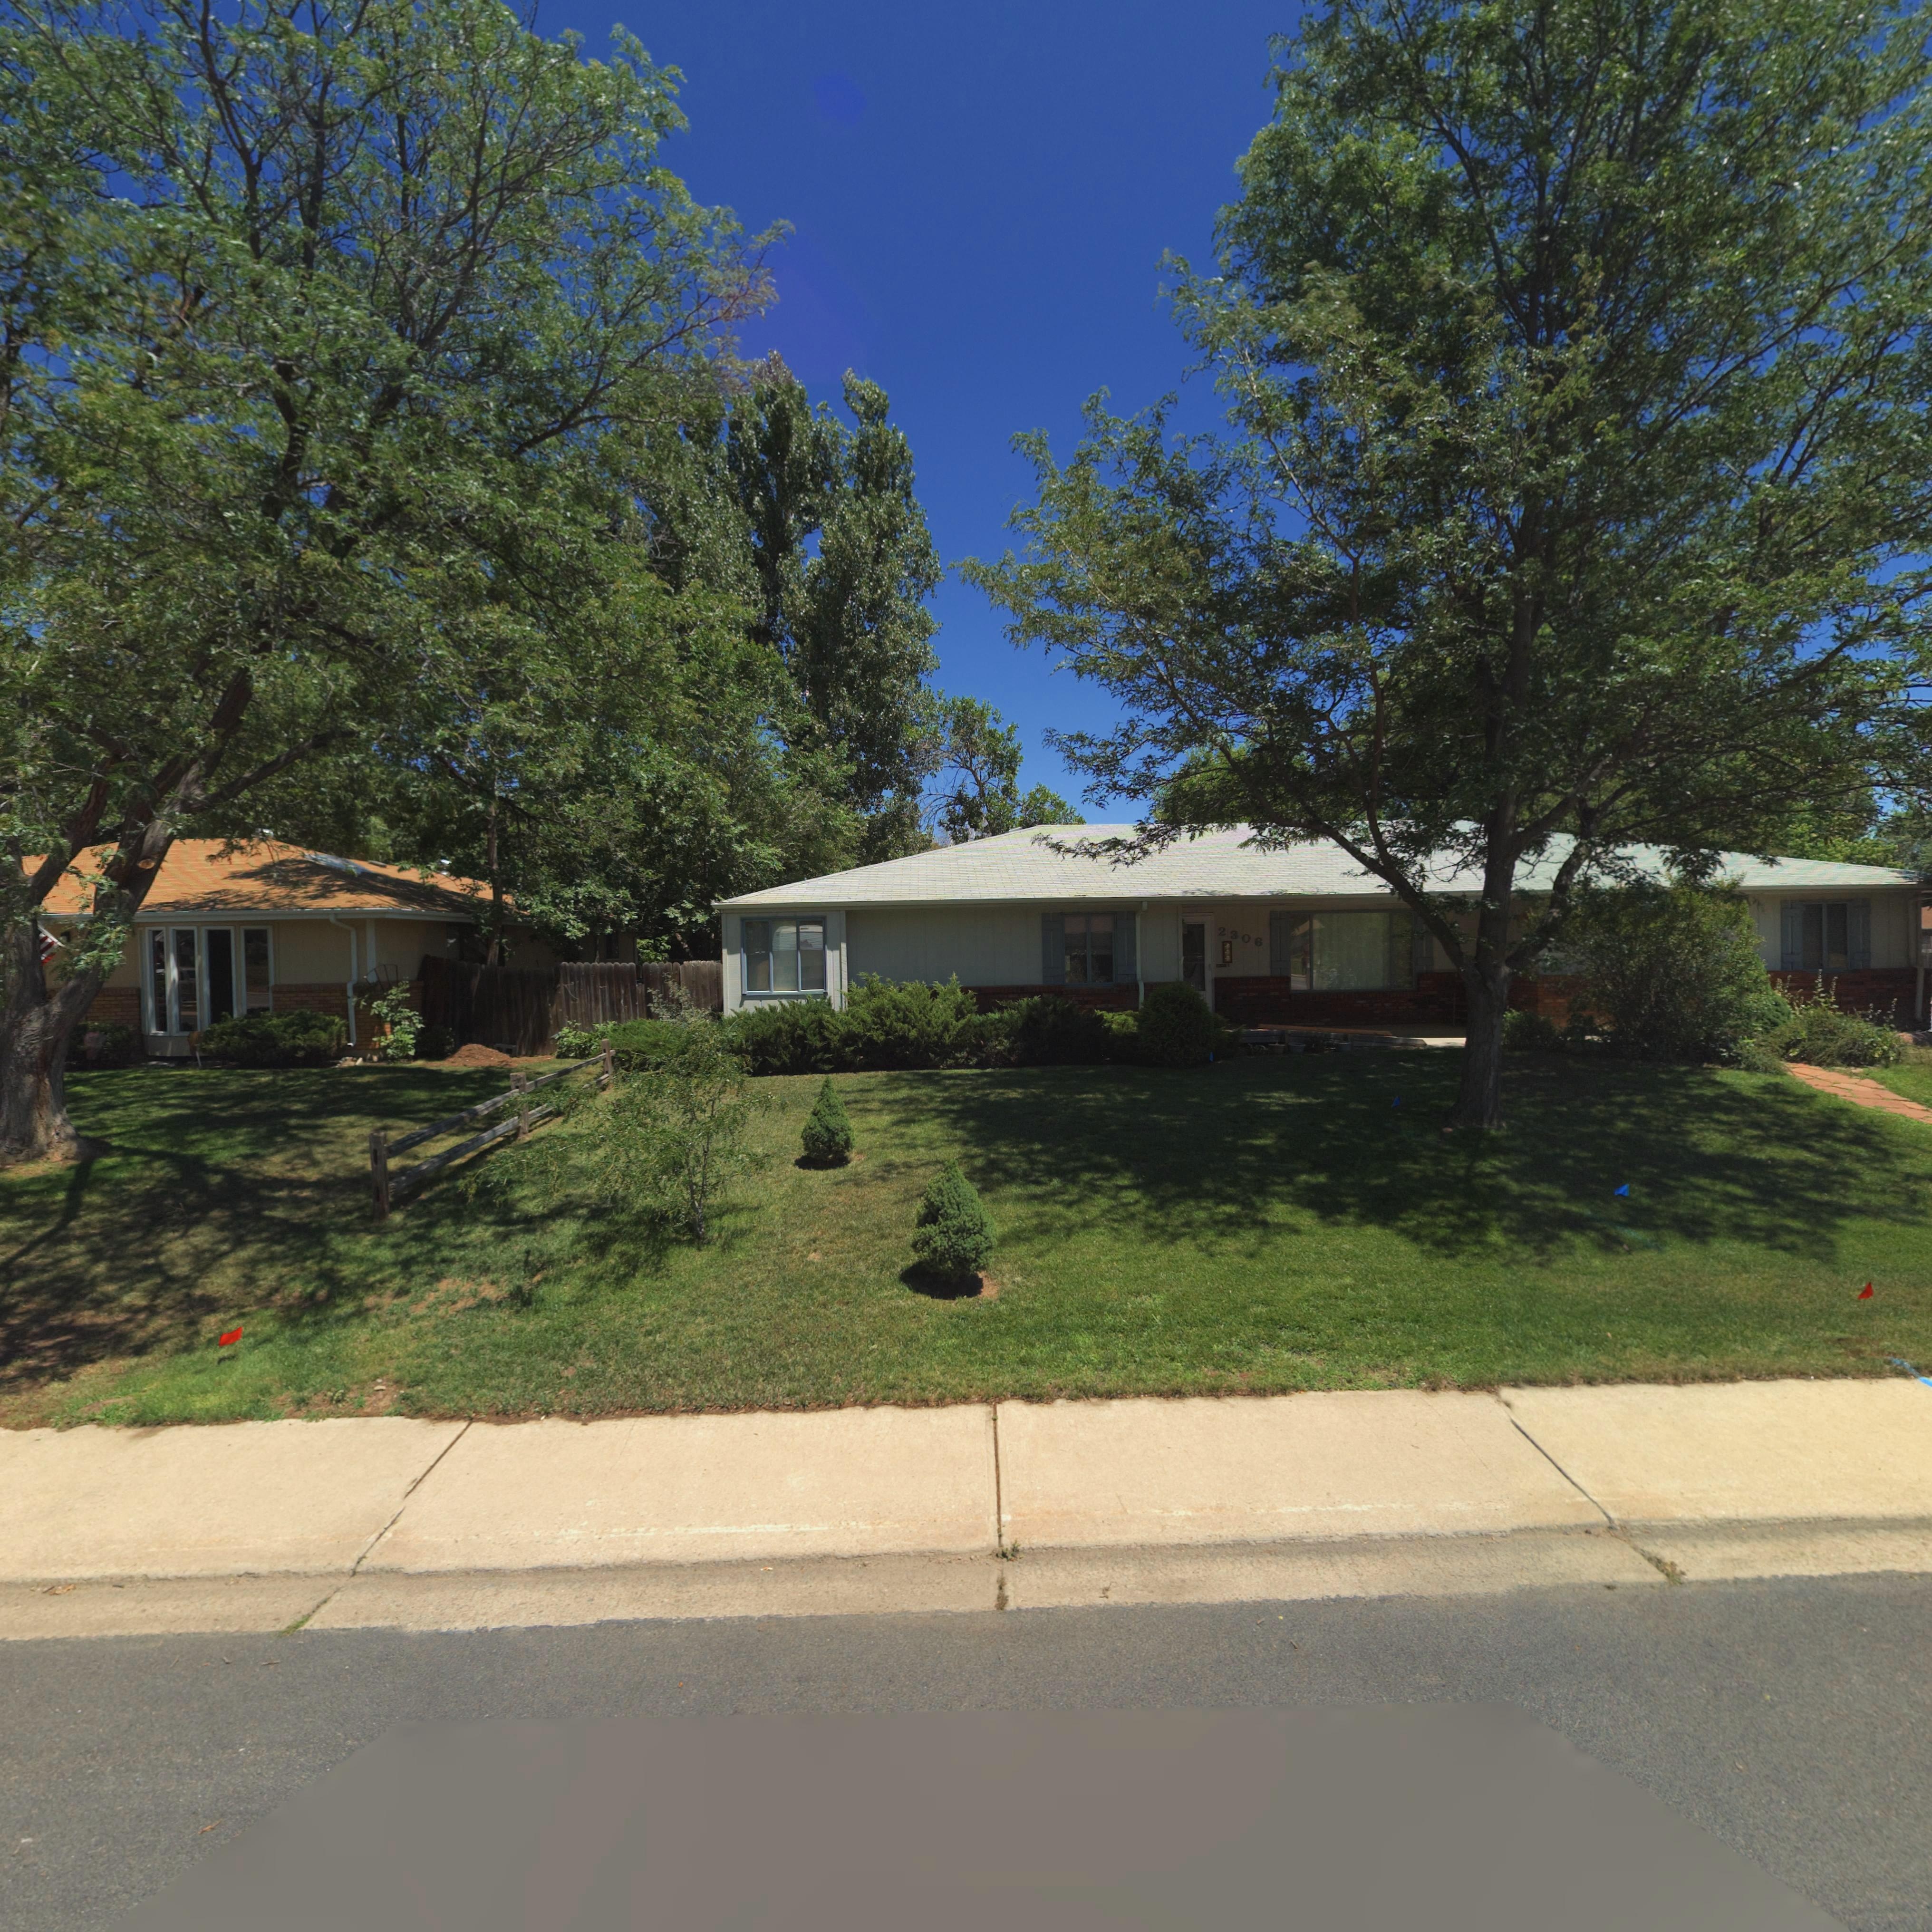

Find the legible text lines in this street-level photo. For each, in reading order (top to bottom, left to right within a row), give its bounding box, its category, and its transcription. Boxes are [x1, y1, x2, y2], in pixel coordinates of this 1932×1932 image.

[1217, 925, 1262, 947] StreetNumber: 2306